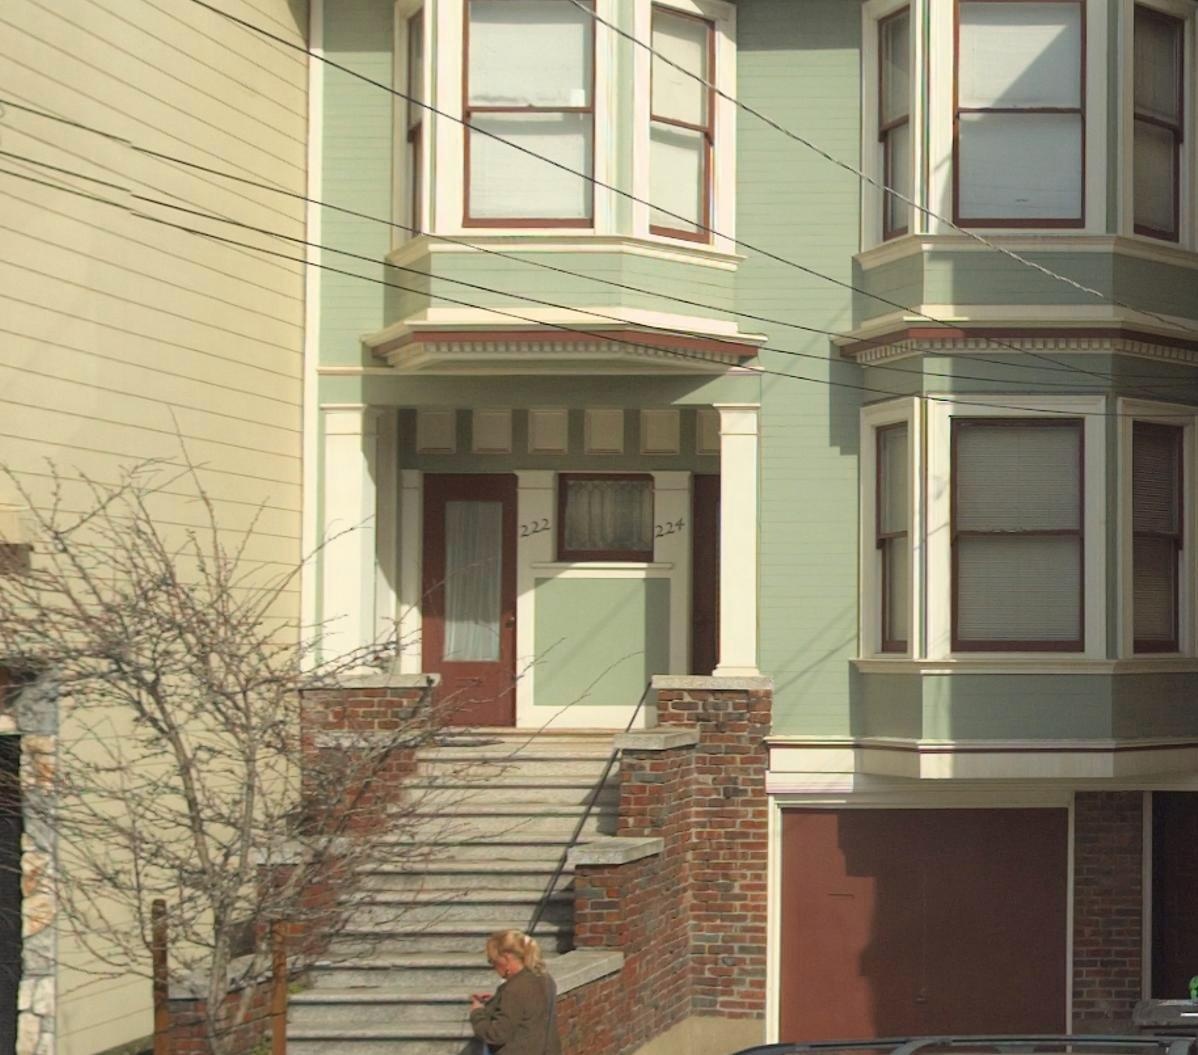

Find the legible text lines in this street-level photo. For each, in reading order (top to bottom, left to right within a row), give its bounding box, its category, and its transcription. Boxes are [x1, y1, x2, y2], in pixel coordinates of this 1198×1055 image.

[519, 515, 554, 540] StreetNumber: 222
[654, 515, 687, 539] StreetNumber: 224